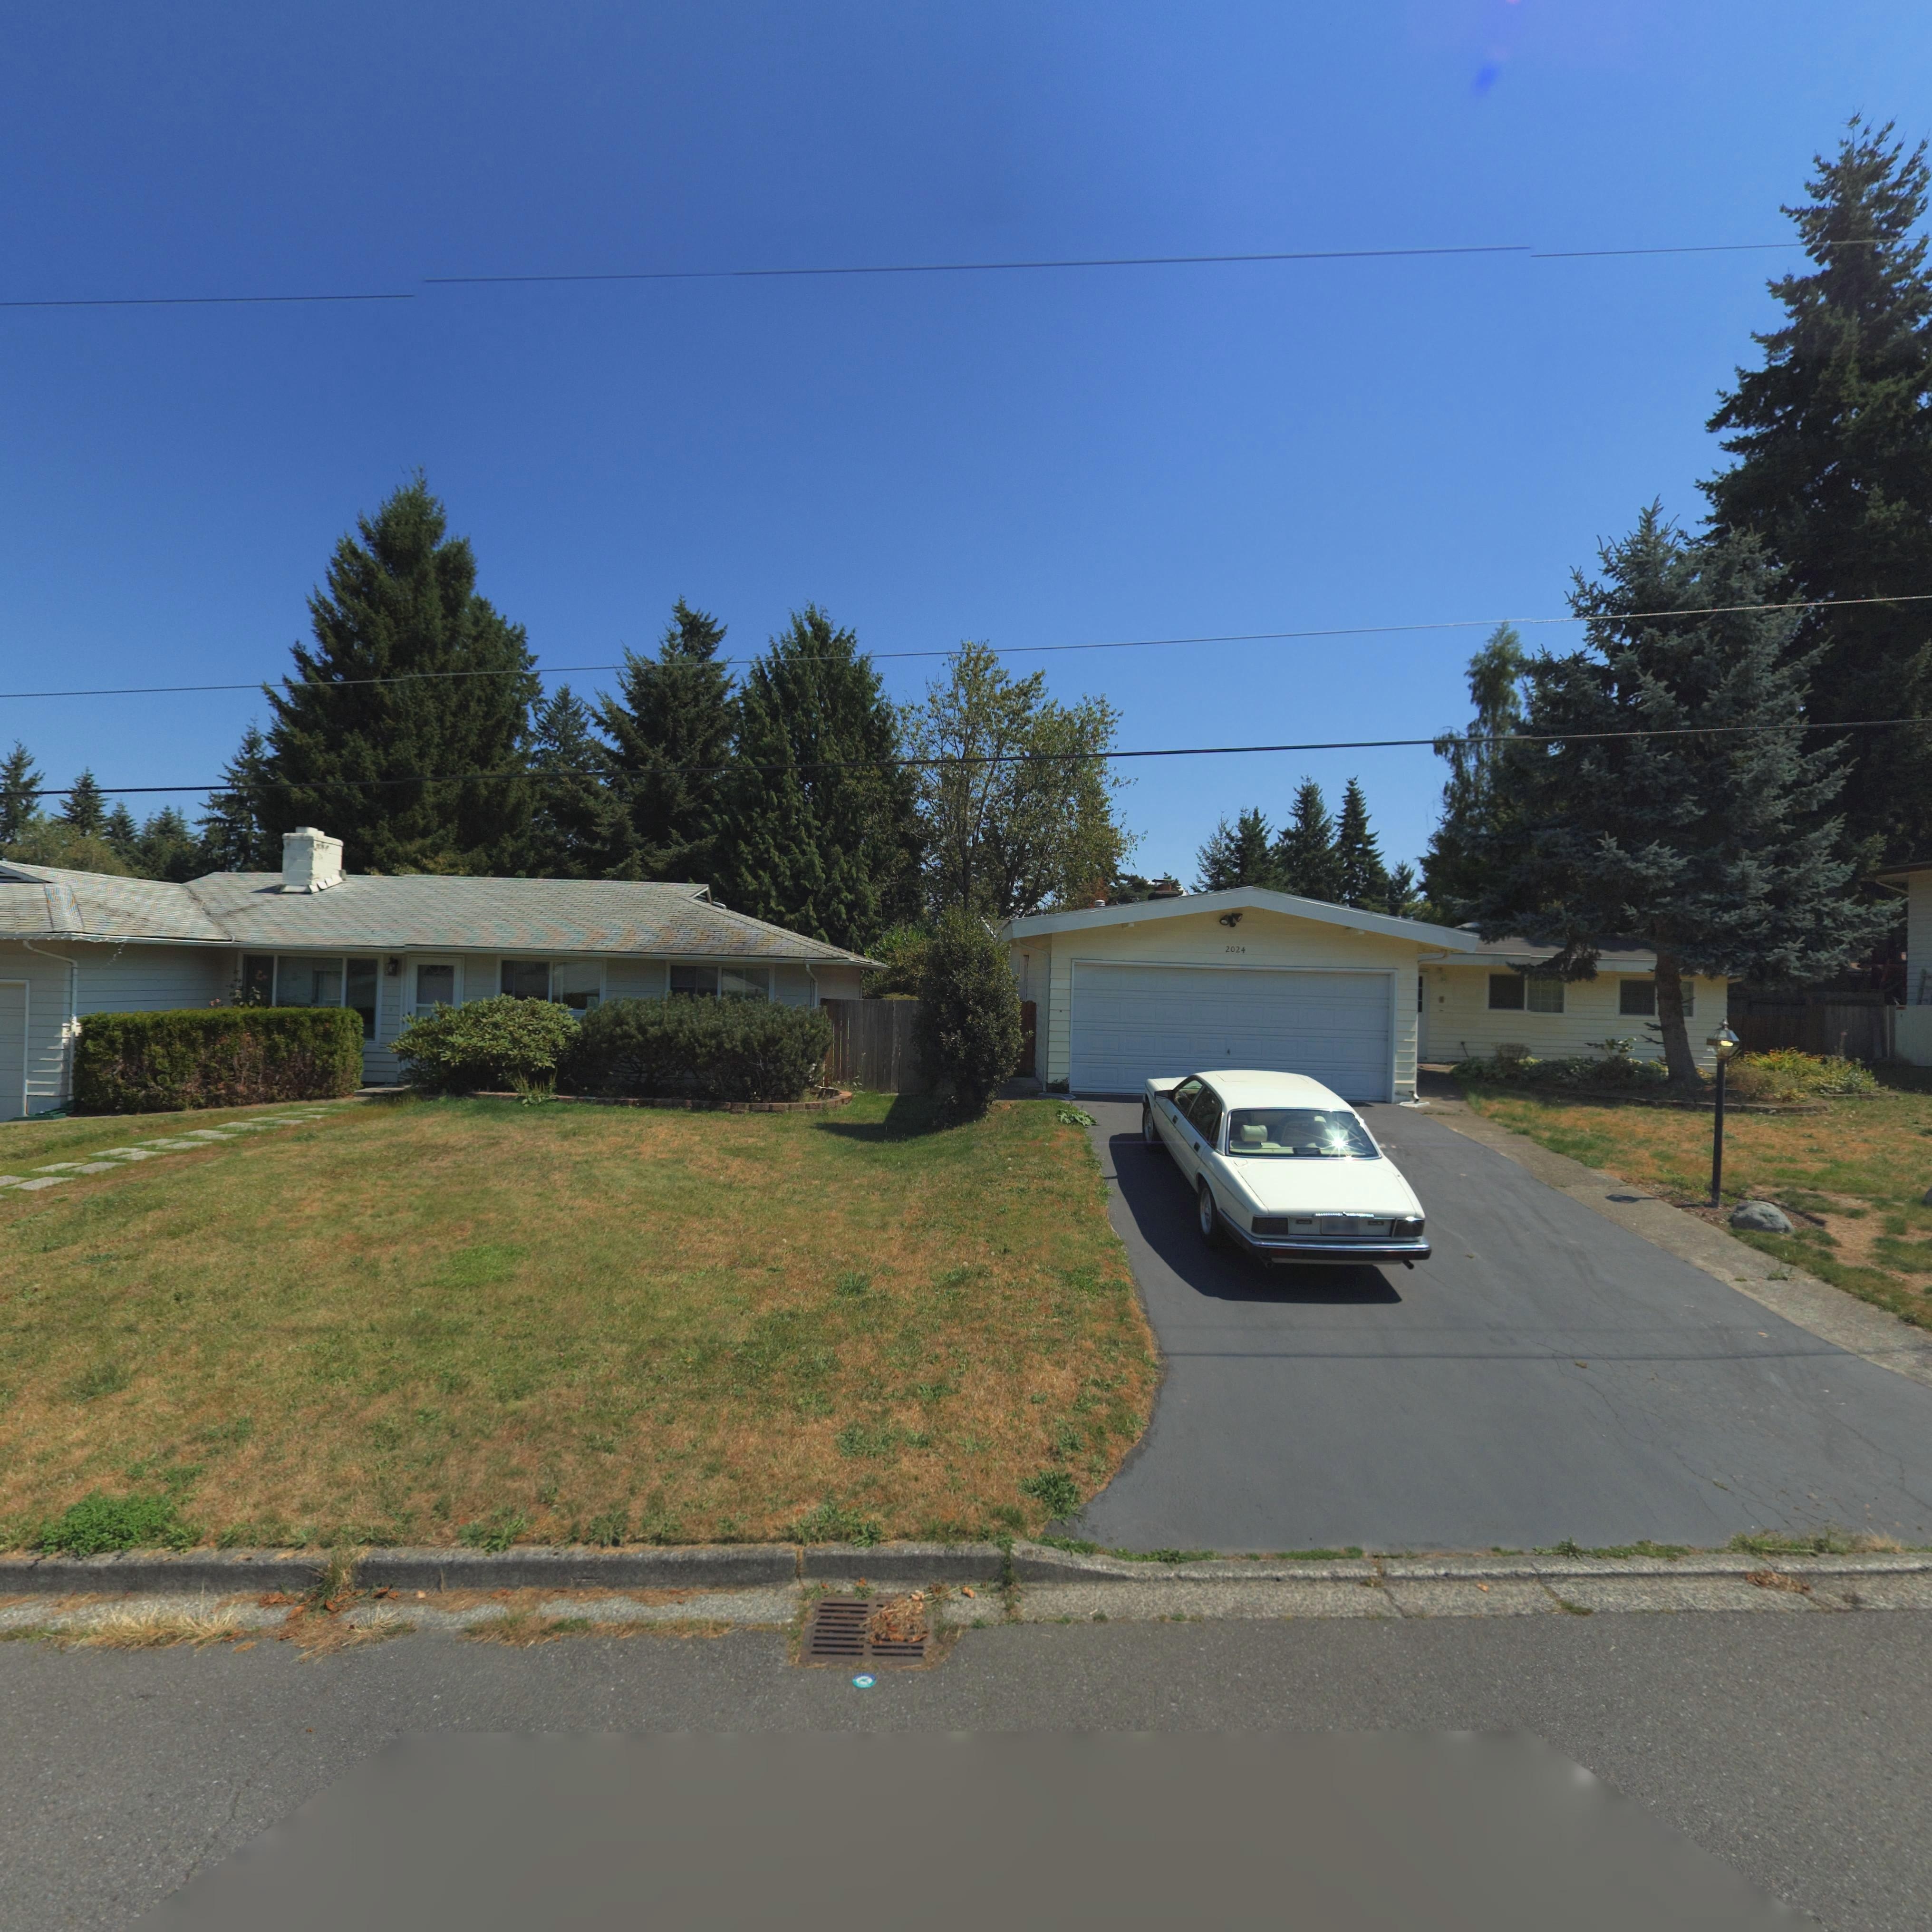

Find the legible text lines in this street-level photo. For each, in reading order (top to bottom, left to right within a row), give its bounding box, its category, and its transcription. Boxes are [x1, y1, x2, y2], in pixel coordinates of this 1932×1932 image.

[1225, 945, 1246, 954] StreetNumber: 2024